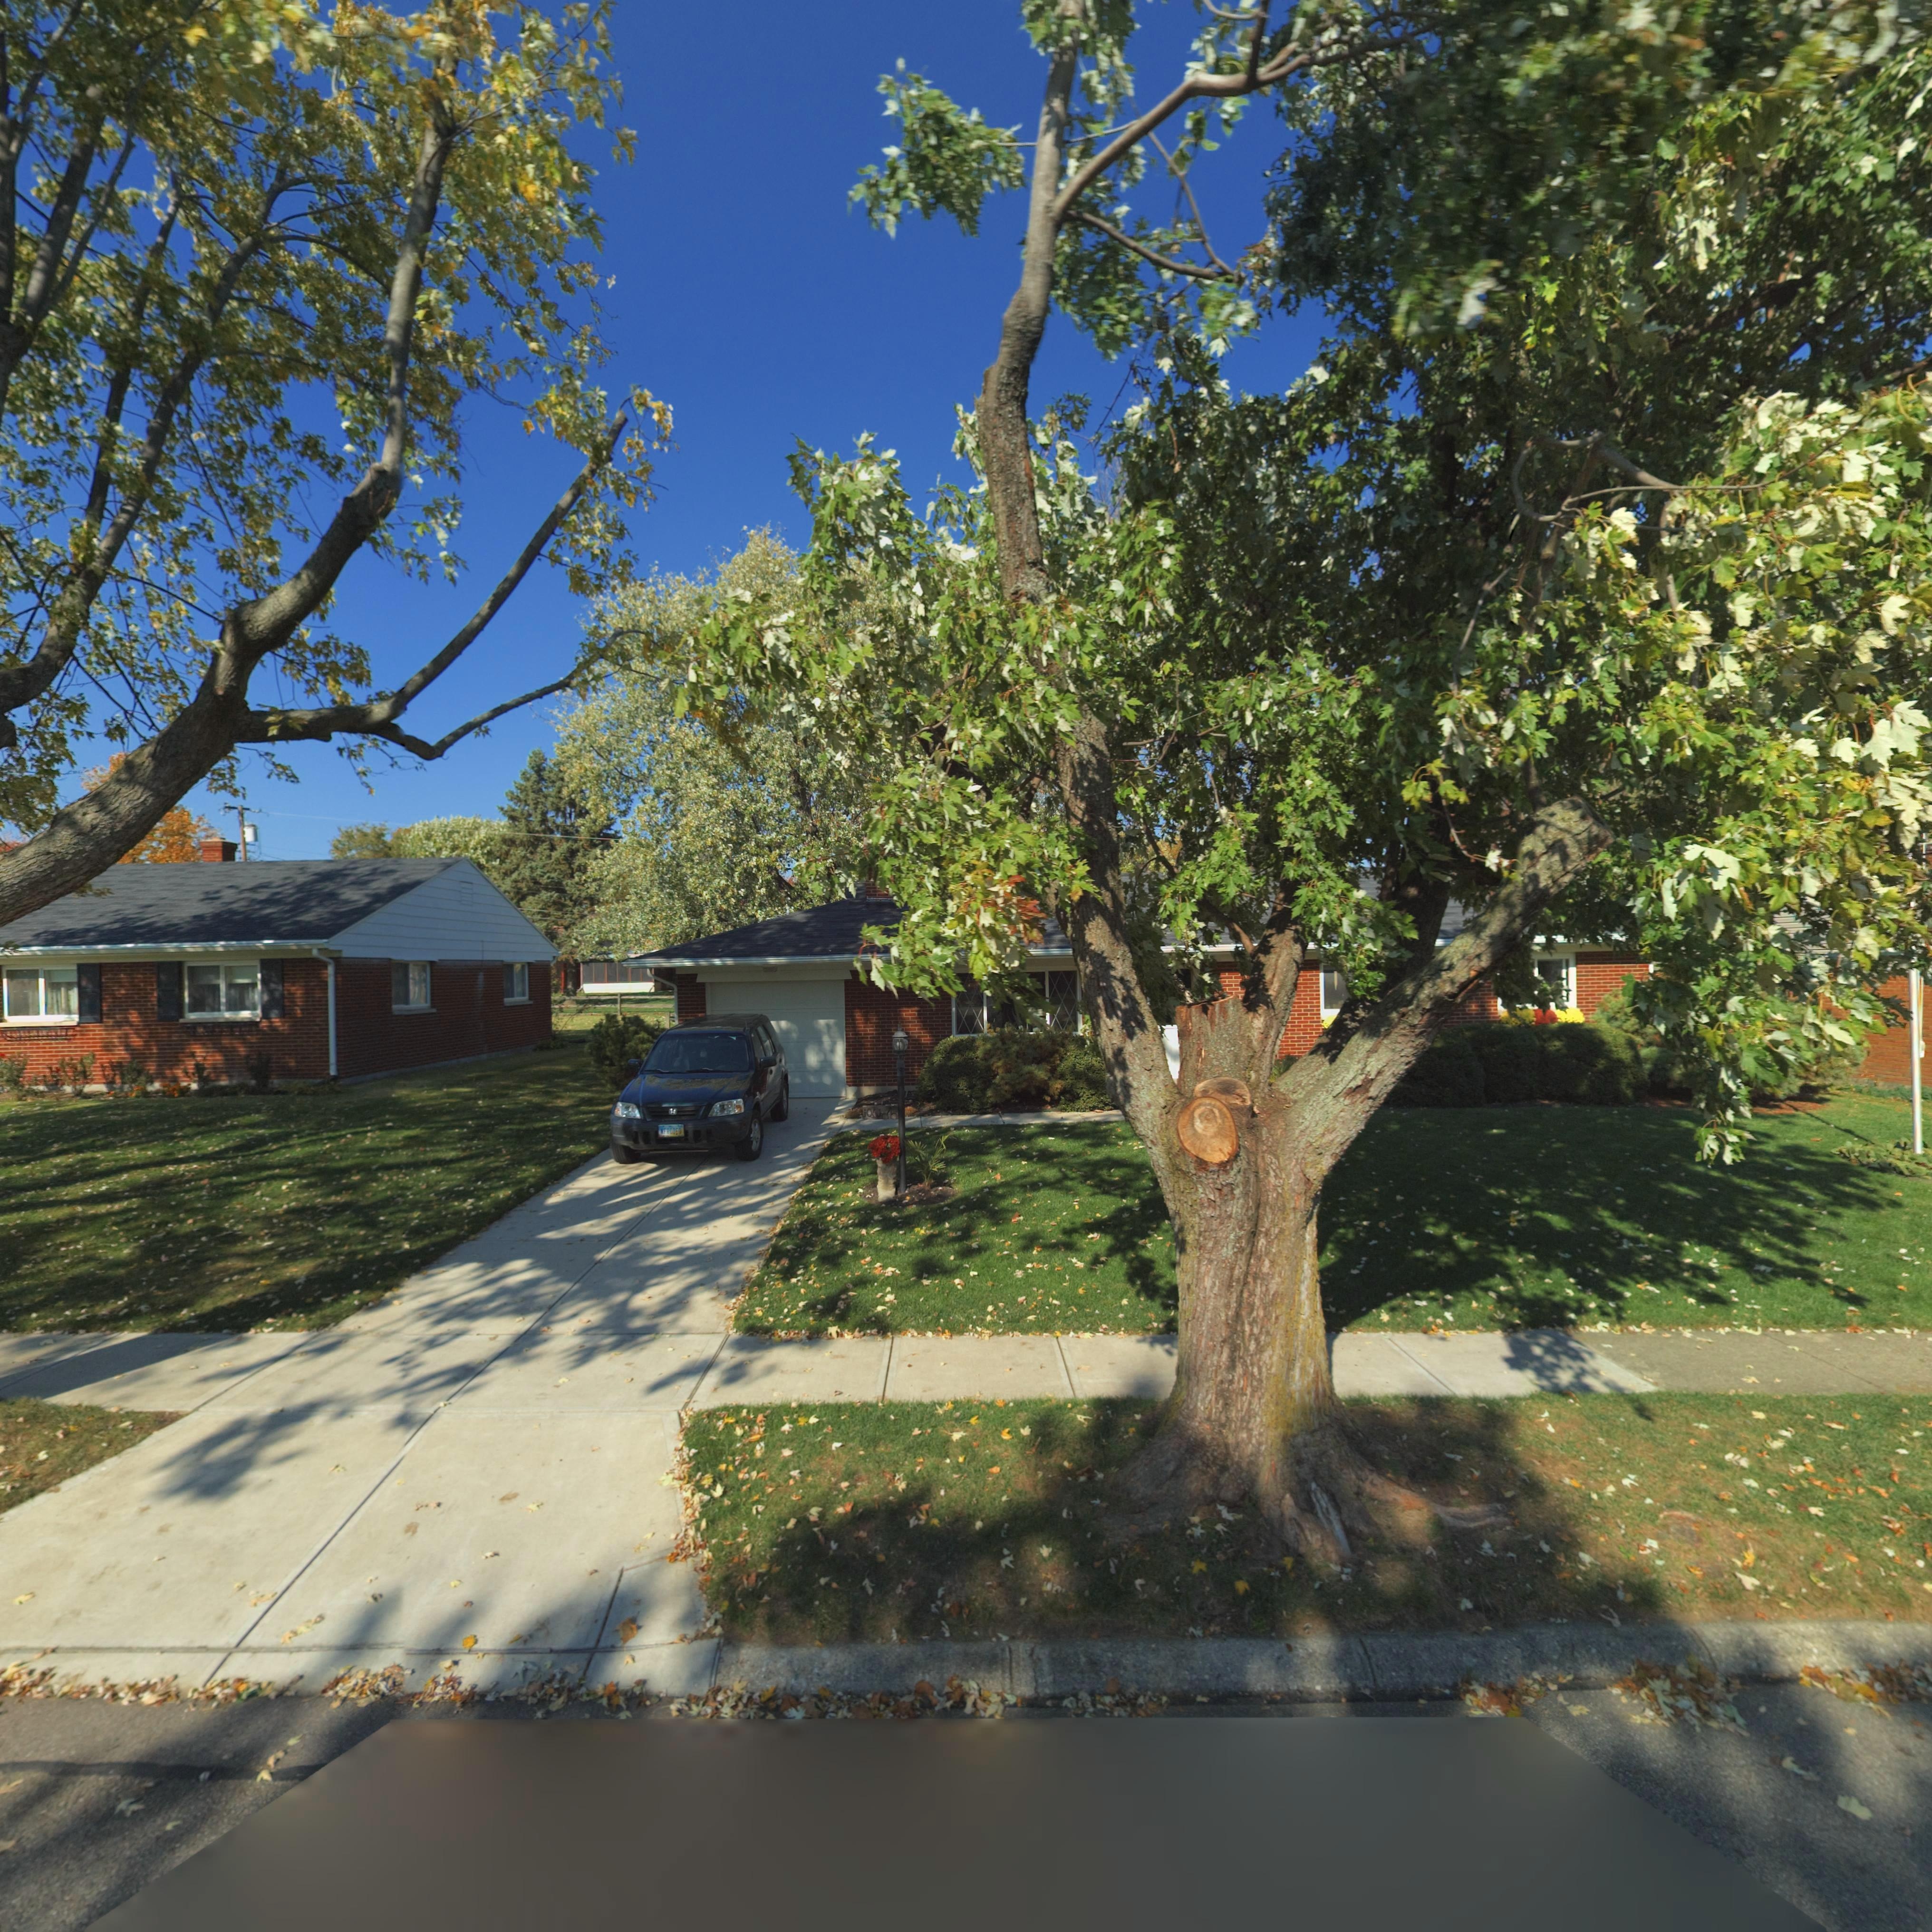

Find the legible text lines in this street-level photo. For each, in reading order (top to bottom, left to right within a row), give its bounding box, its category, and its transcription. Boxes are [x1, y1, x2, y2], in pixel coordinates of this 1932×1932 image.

[660, 1127, 681, 1135] None: N*RODEO